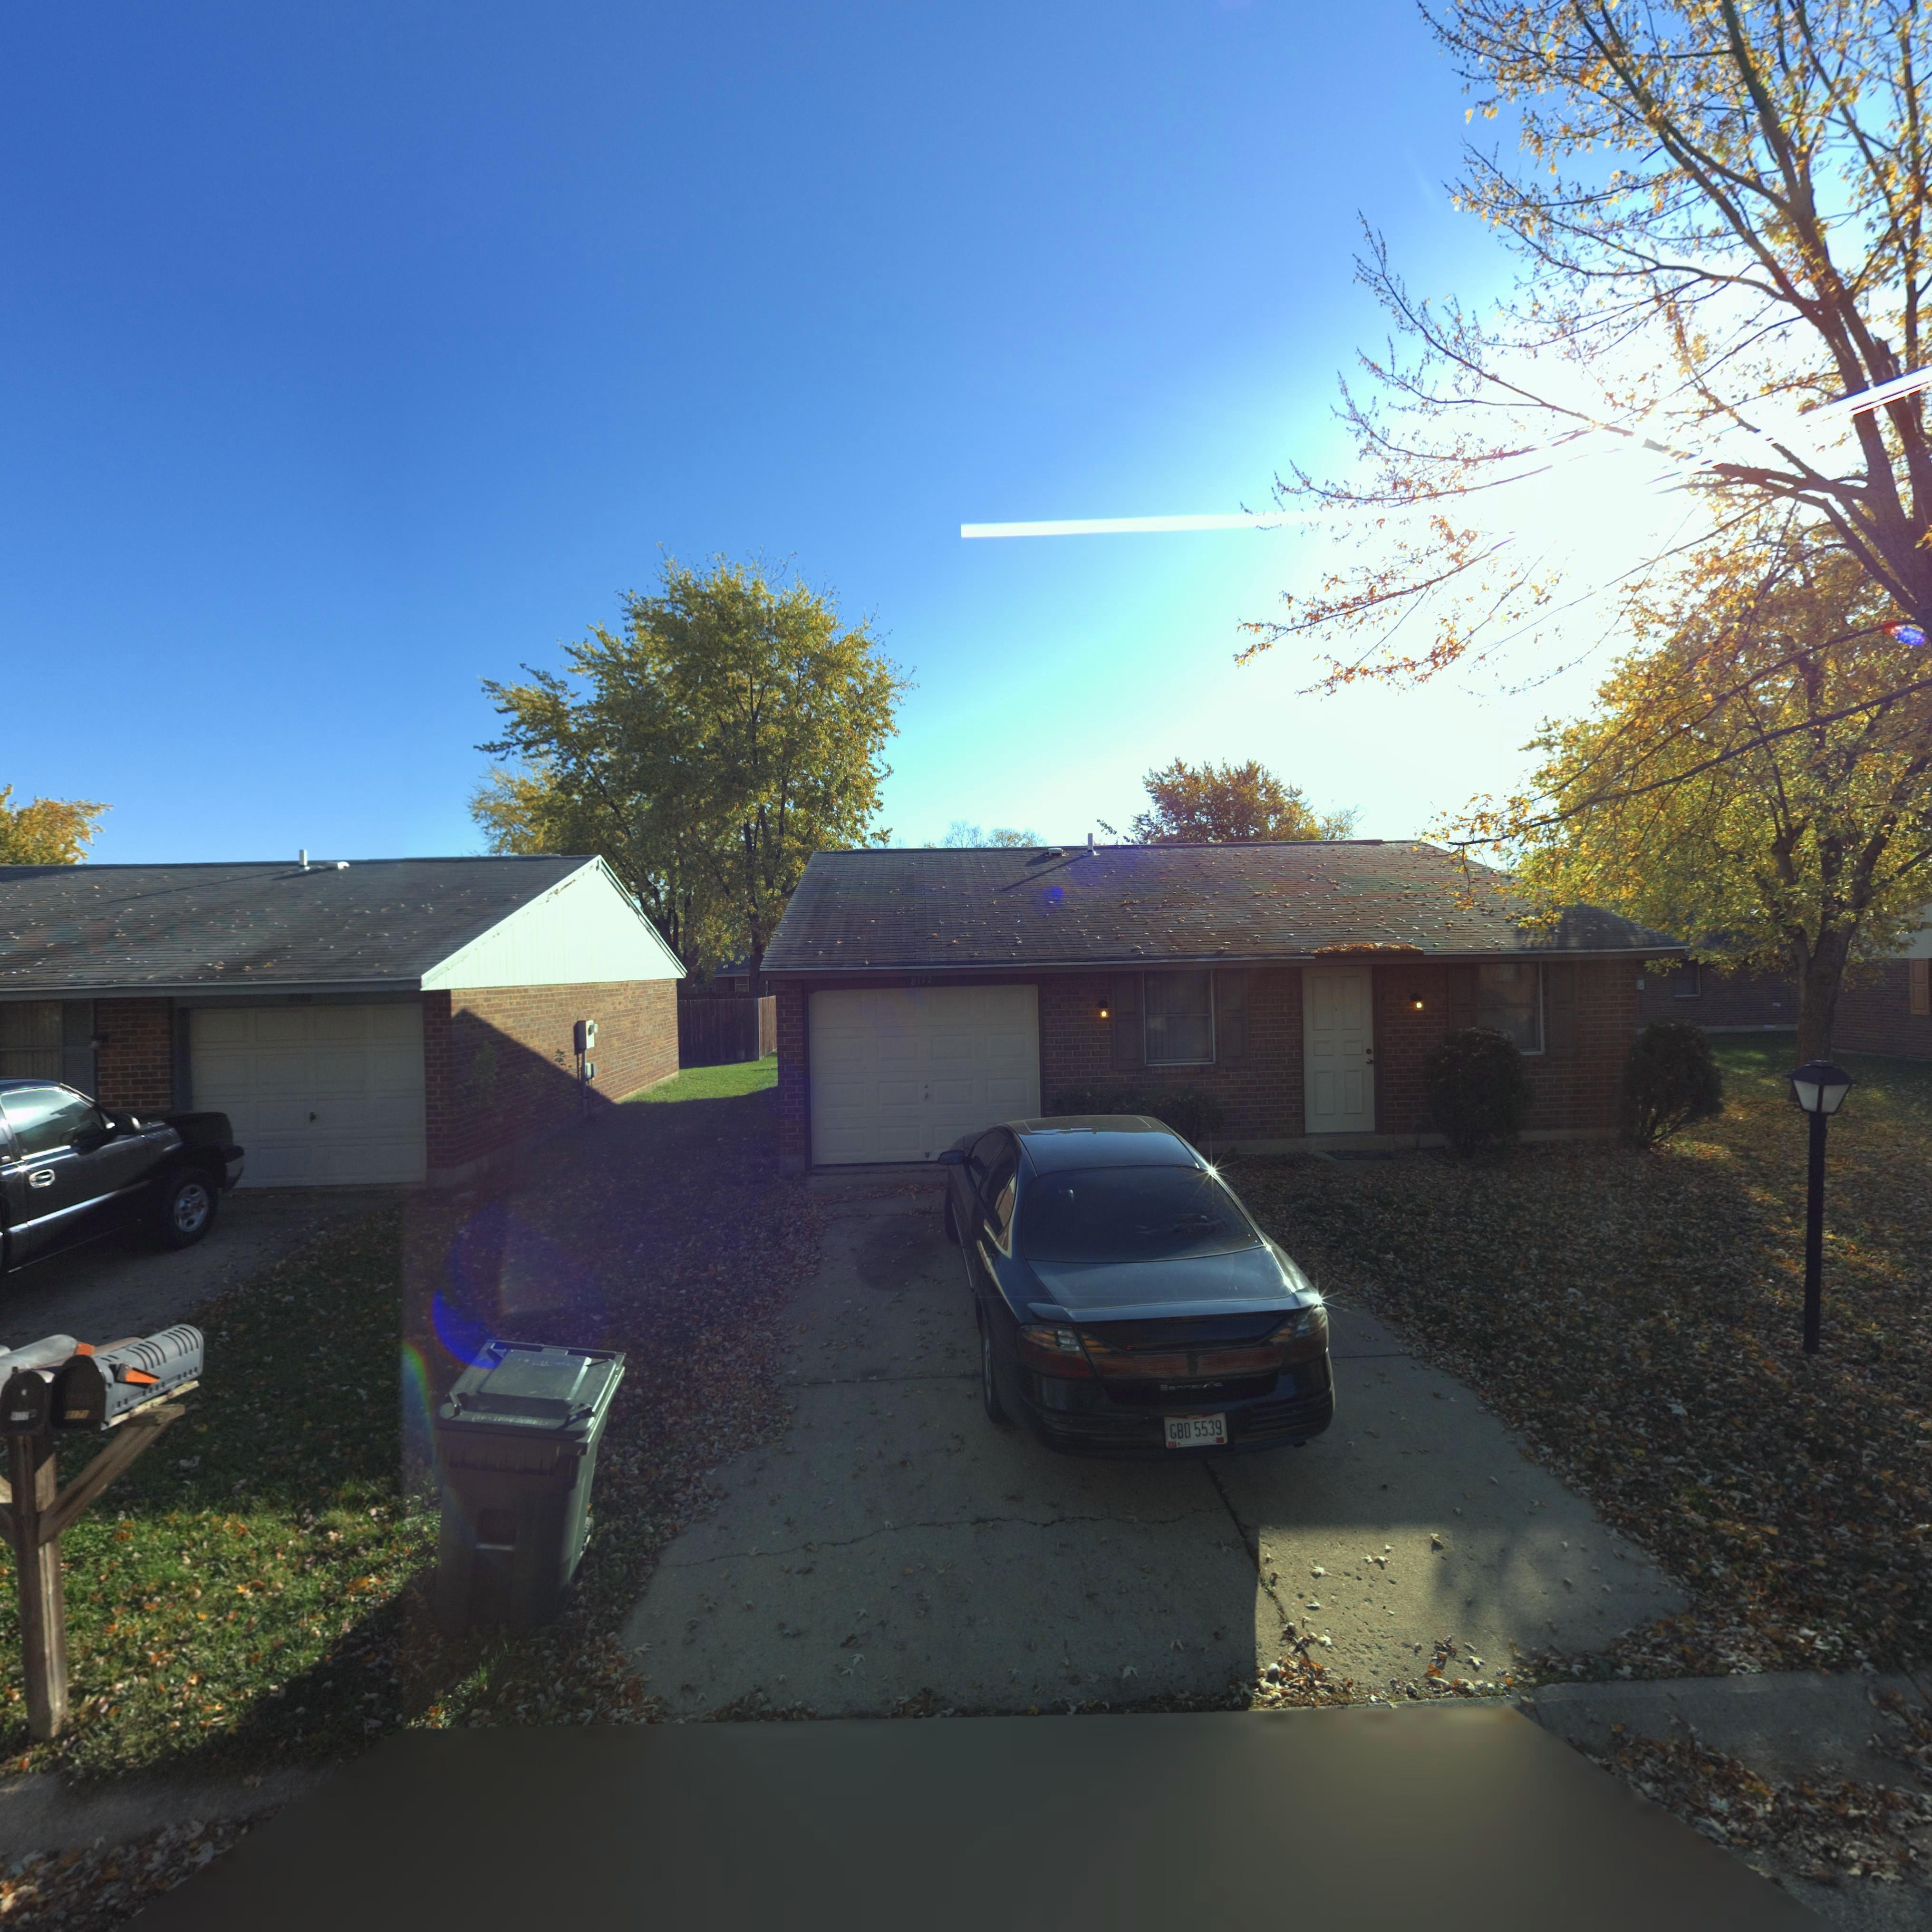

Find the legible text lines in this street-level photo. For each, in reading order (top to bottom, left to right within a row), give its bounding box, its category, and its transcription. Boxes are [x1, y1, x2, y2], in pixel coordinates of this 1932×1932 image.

[909, 975, 934, 987] StreetNumber: 8172
[63, 1409, 89, 1420] StreetNumber: 8171